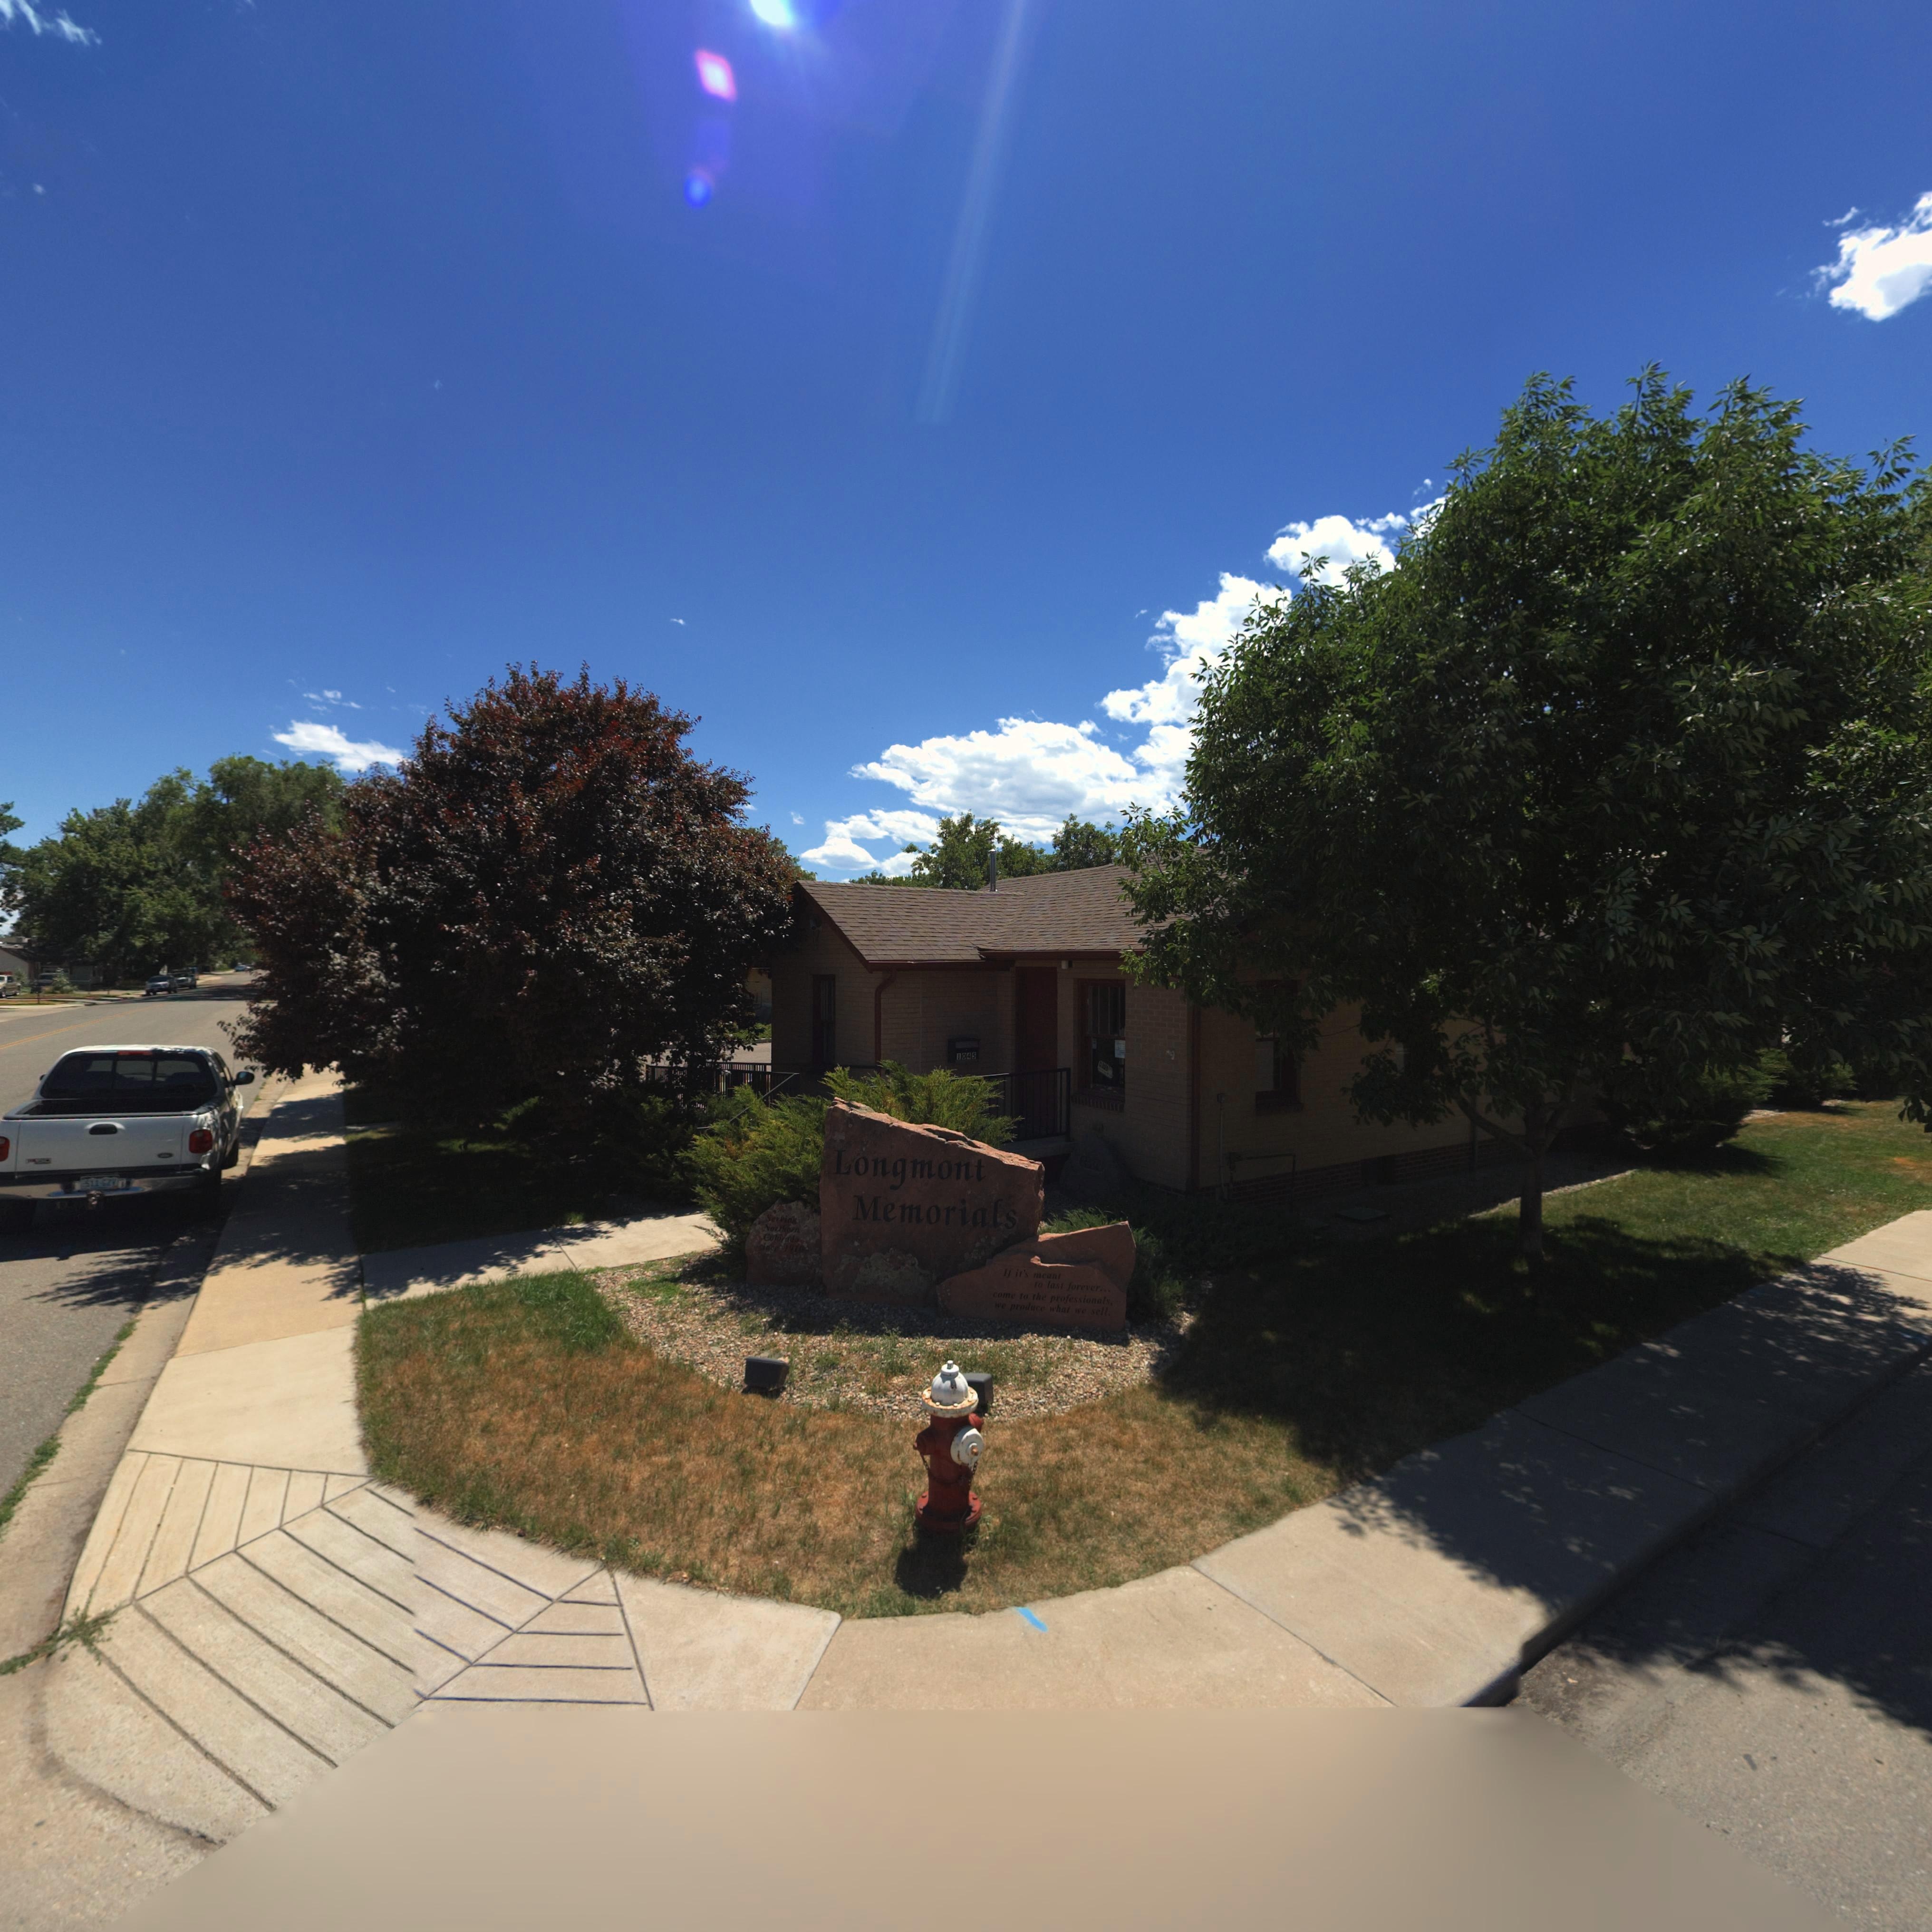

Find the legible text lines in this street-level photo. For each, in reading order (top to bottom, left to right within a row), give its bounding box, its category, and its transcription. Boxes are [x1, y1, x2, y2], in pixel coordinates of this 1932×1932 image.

[957, 1052, 976, 1060] StreetNumber: 1045
[831, 1147, 988, 1191] BusinessName: Longmont
[852, 1194, 1018, 1229] BusinessName: Memorials